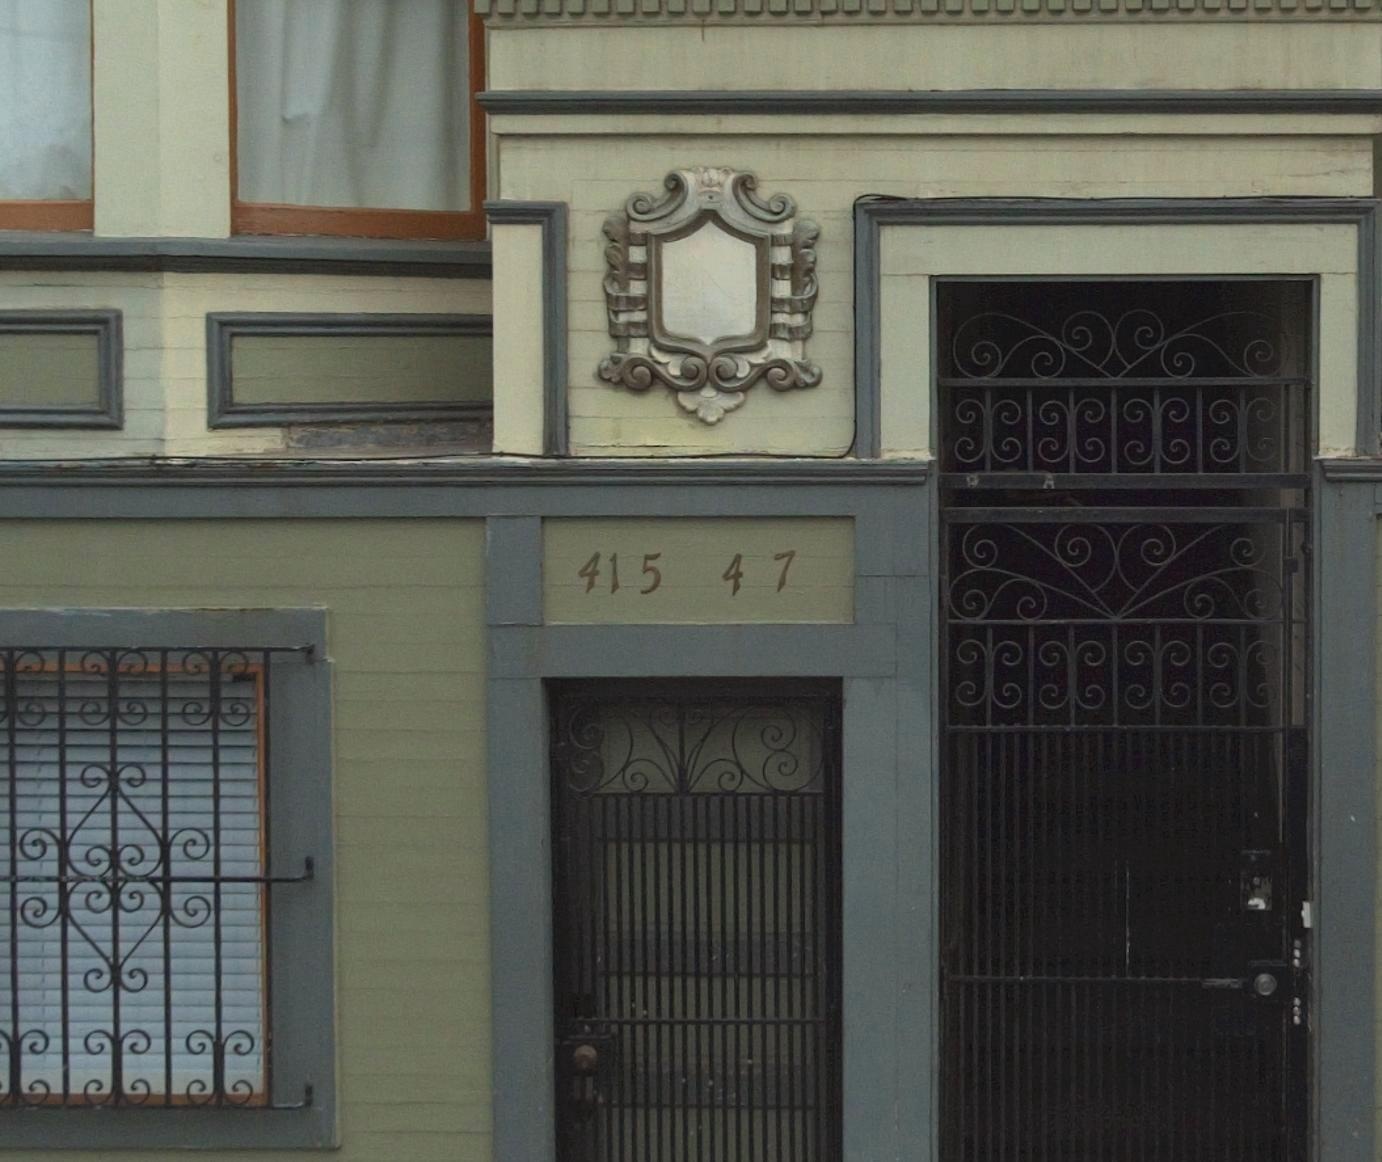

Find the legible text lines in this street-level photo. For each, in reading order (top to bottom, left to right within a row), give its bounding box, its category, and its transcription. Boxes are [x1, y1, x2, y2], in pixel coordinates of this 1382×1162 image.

[573, 546, 802, 598] StreetNumber: 415 47